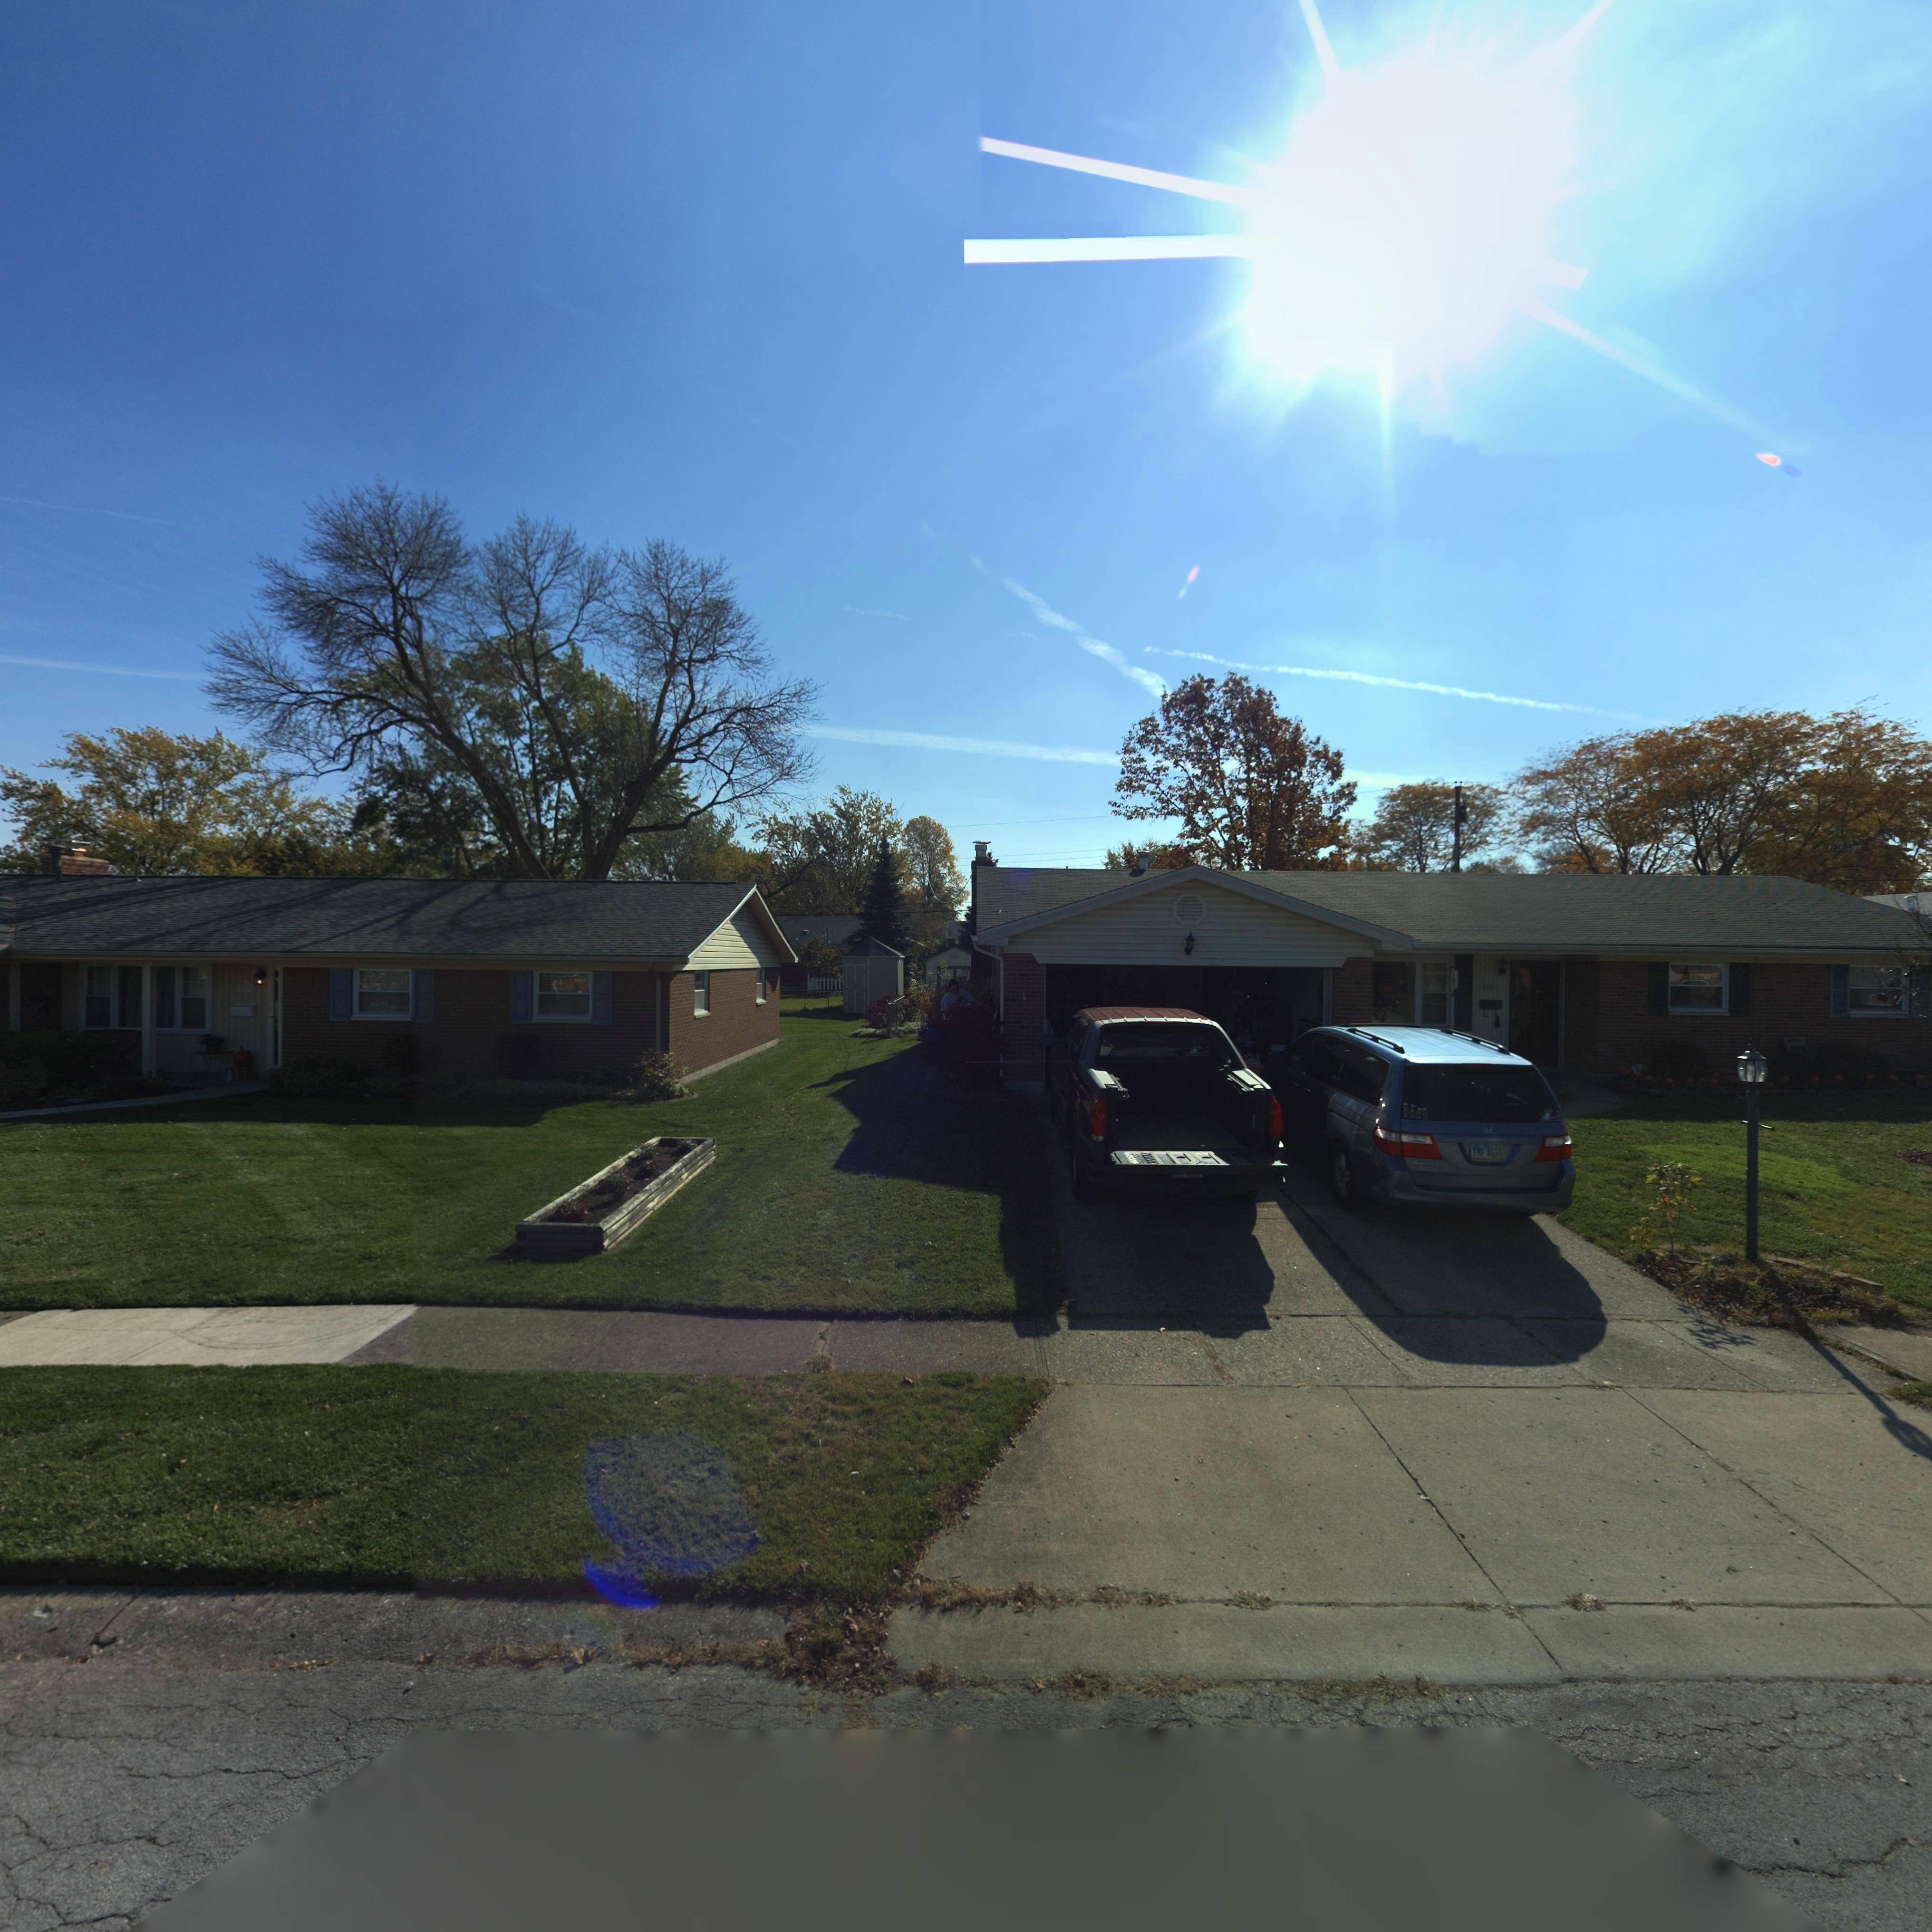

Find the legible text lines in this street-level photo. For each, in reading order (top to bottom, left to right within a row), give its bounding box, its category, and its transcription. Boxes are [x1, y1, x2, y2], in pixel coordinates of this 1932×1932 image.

[1481, 983, 1499, 991] StreetNumber: 1006